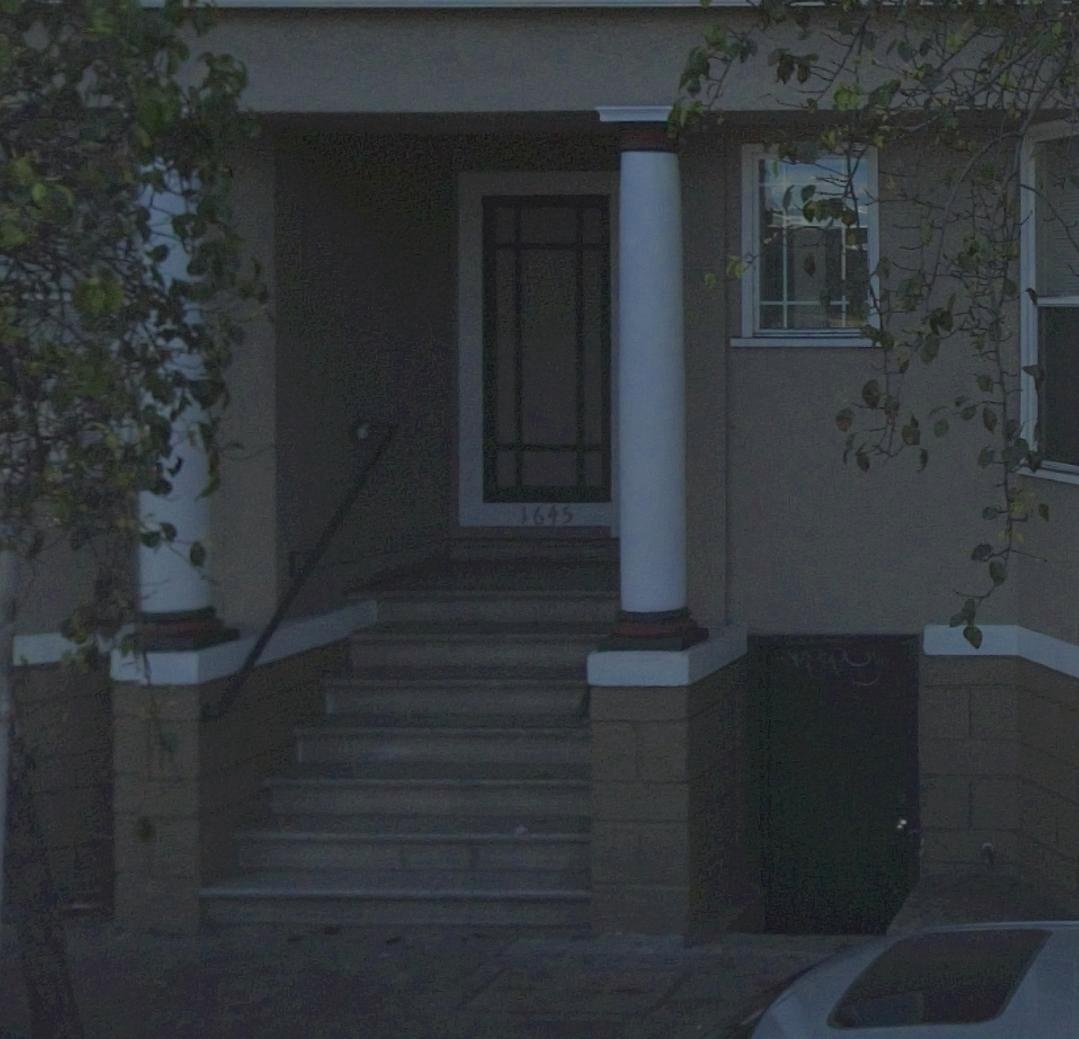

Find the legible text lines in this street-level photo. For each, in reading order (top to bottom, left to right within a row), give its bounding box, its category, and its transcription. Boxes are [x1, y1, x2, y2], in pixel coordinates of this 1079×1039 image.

[516, 501, 577, 531] StreetNumber: 1645